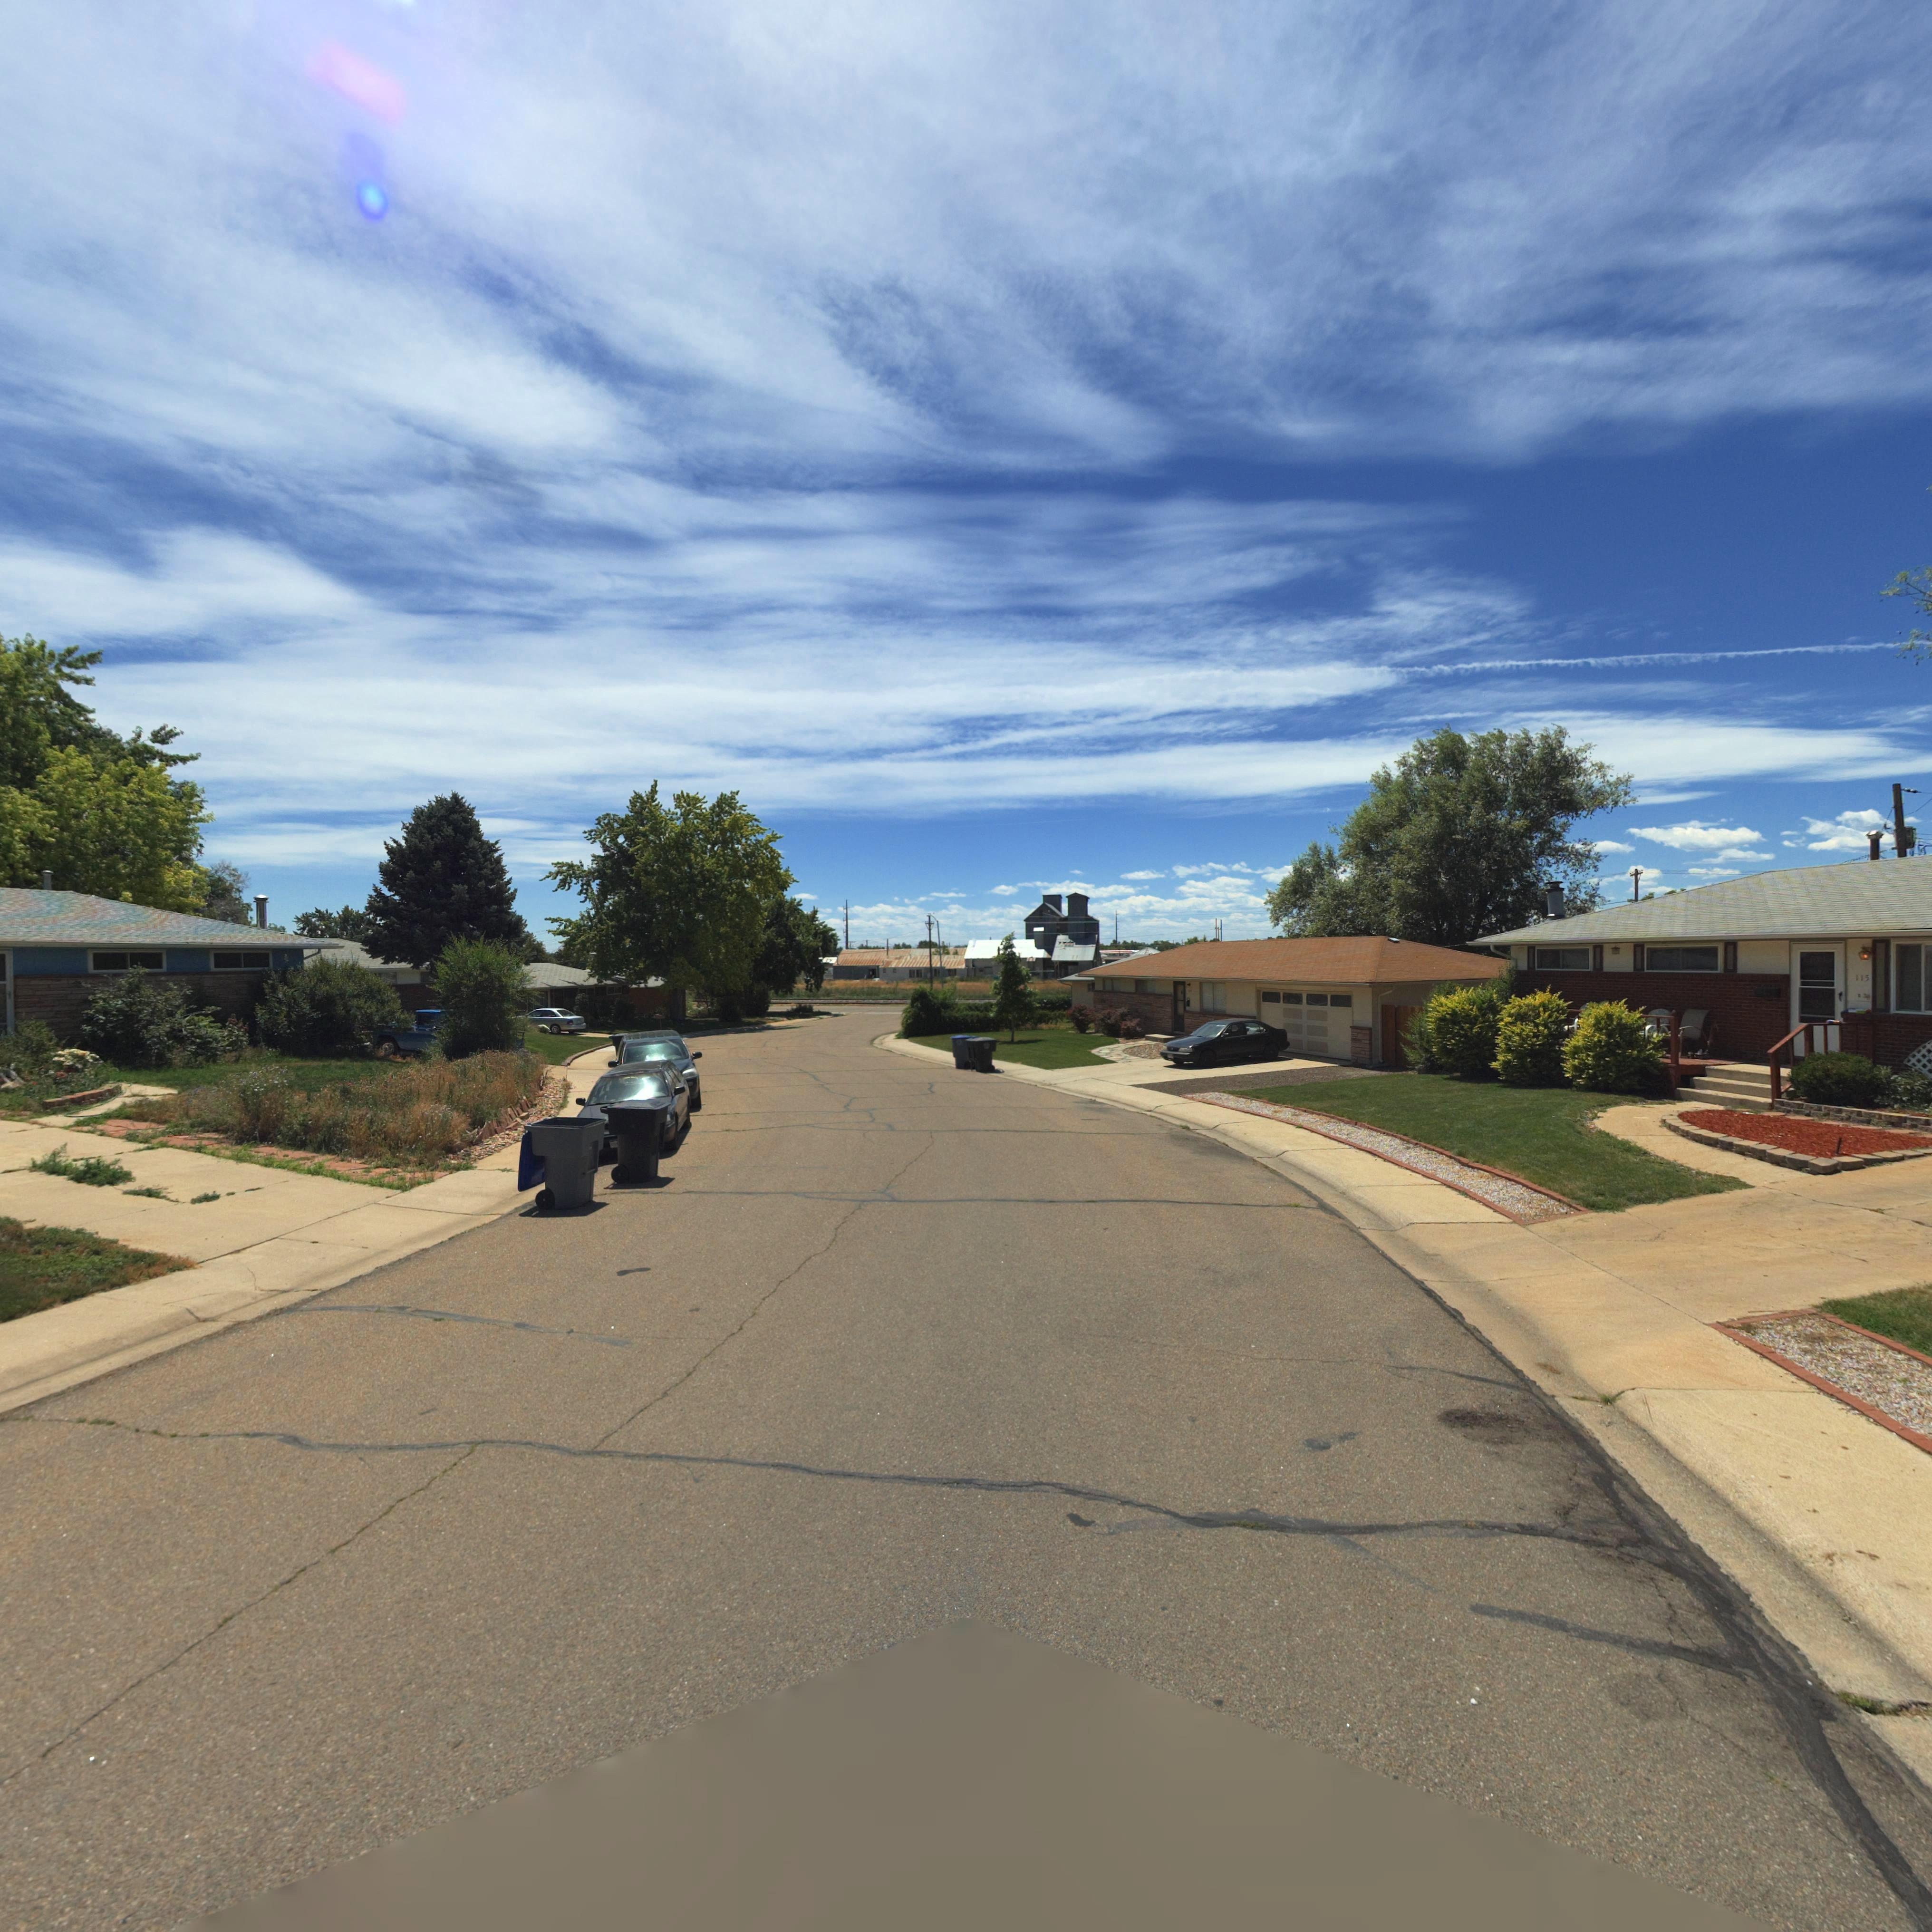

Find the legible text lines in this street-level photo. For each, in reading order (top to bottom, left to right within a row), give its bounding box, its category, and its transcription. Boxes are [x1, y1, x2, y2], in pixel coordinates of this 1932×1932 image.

[1855, 974, 1869, 982] StreetNumber: 115